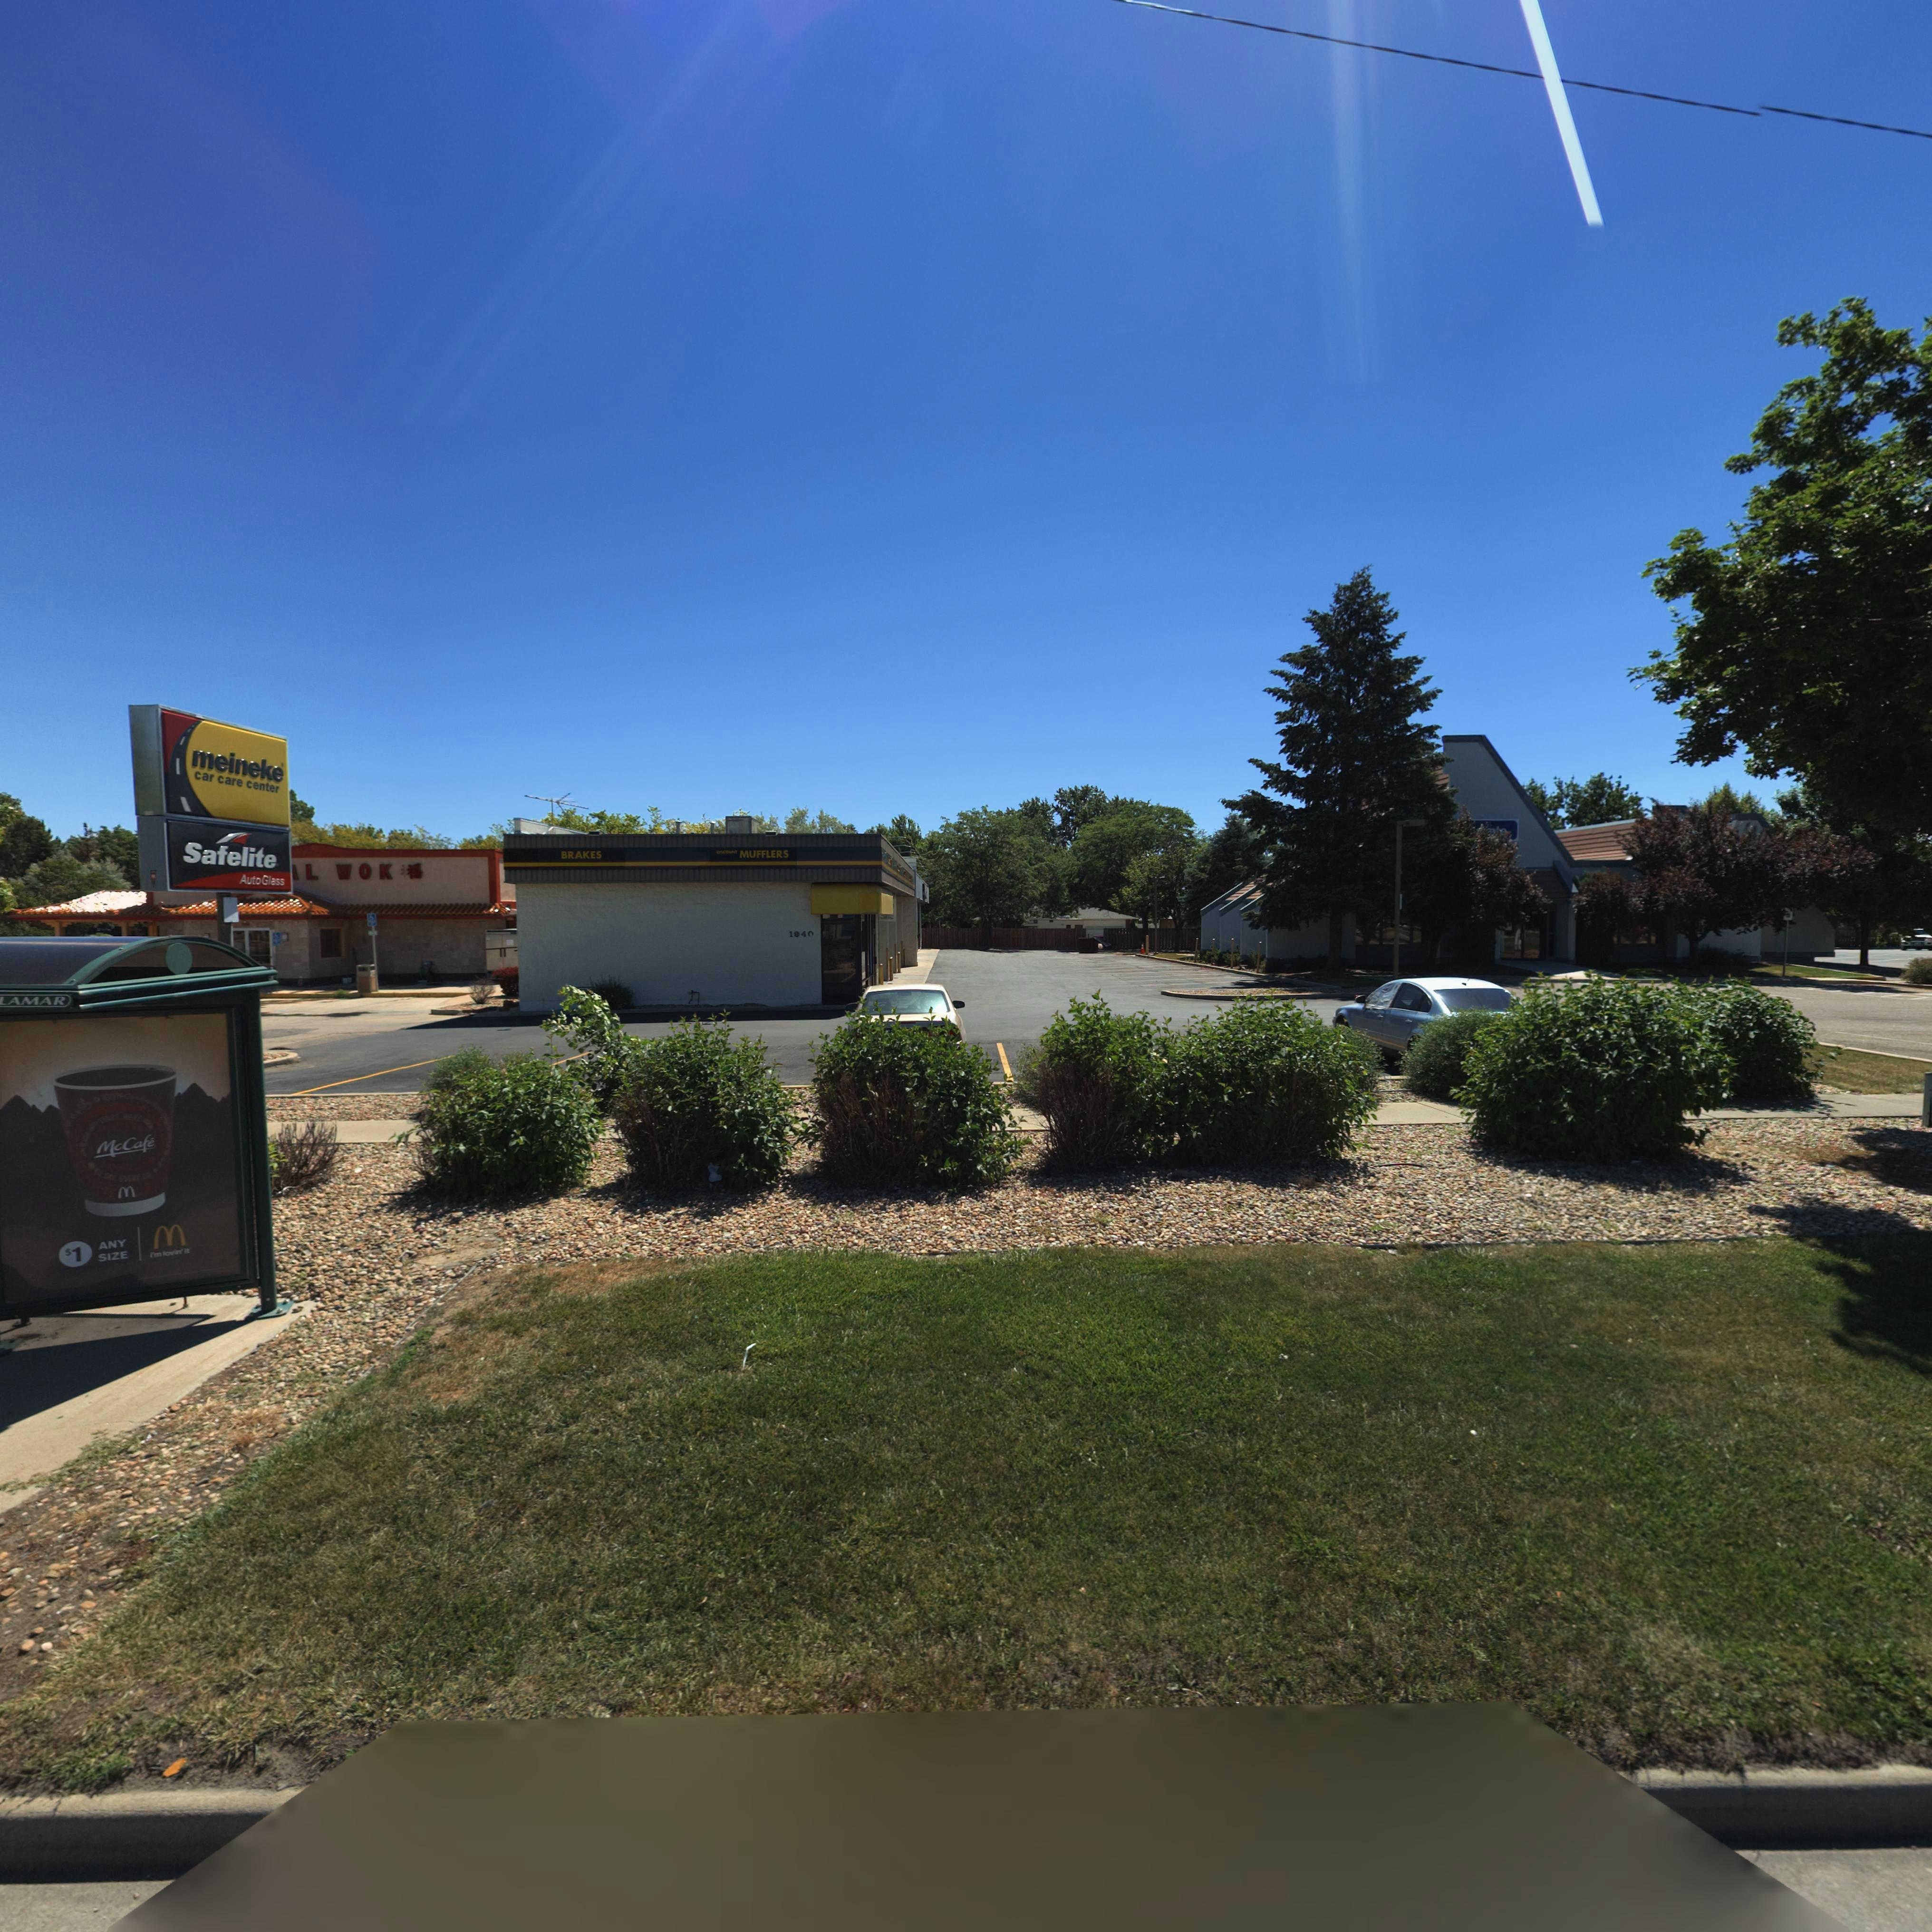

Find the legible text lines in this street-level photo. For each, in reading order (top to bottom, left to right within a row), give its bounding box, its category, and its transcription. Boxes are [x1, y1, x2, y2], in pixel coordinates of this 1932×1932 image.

[191, 748, 285, 782] BusinessName: meineke
[193, 770, 280, 794] BusinessName: car care center
[181, 841, 278, 869] BusinessName: Safelite
[238, 873, 286, 886] BusinessName: AutoGlass
[304, 862, 394, 880] BusinessName: L WOK
[789, 930, 814, 937] StreetNumber: 1940